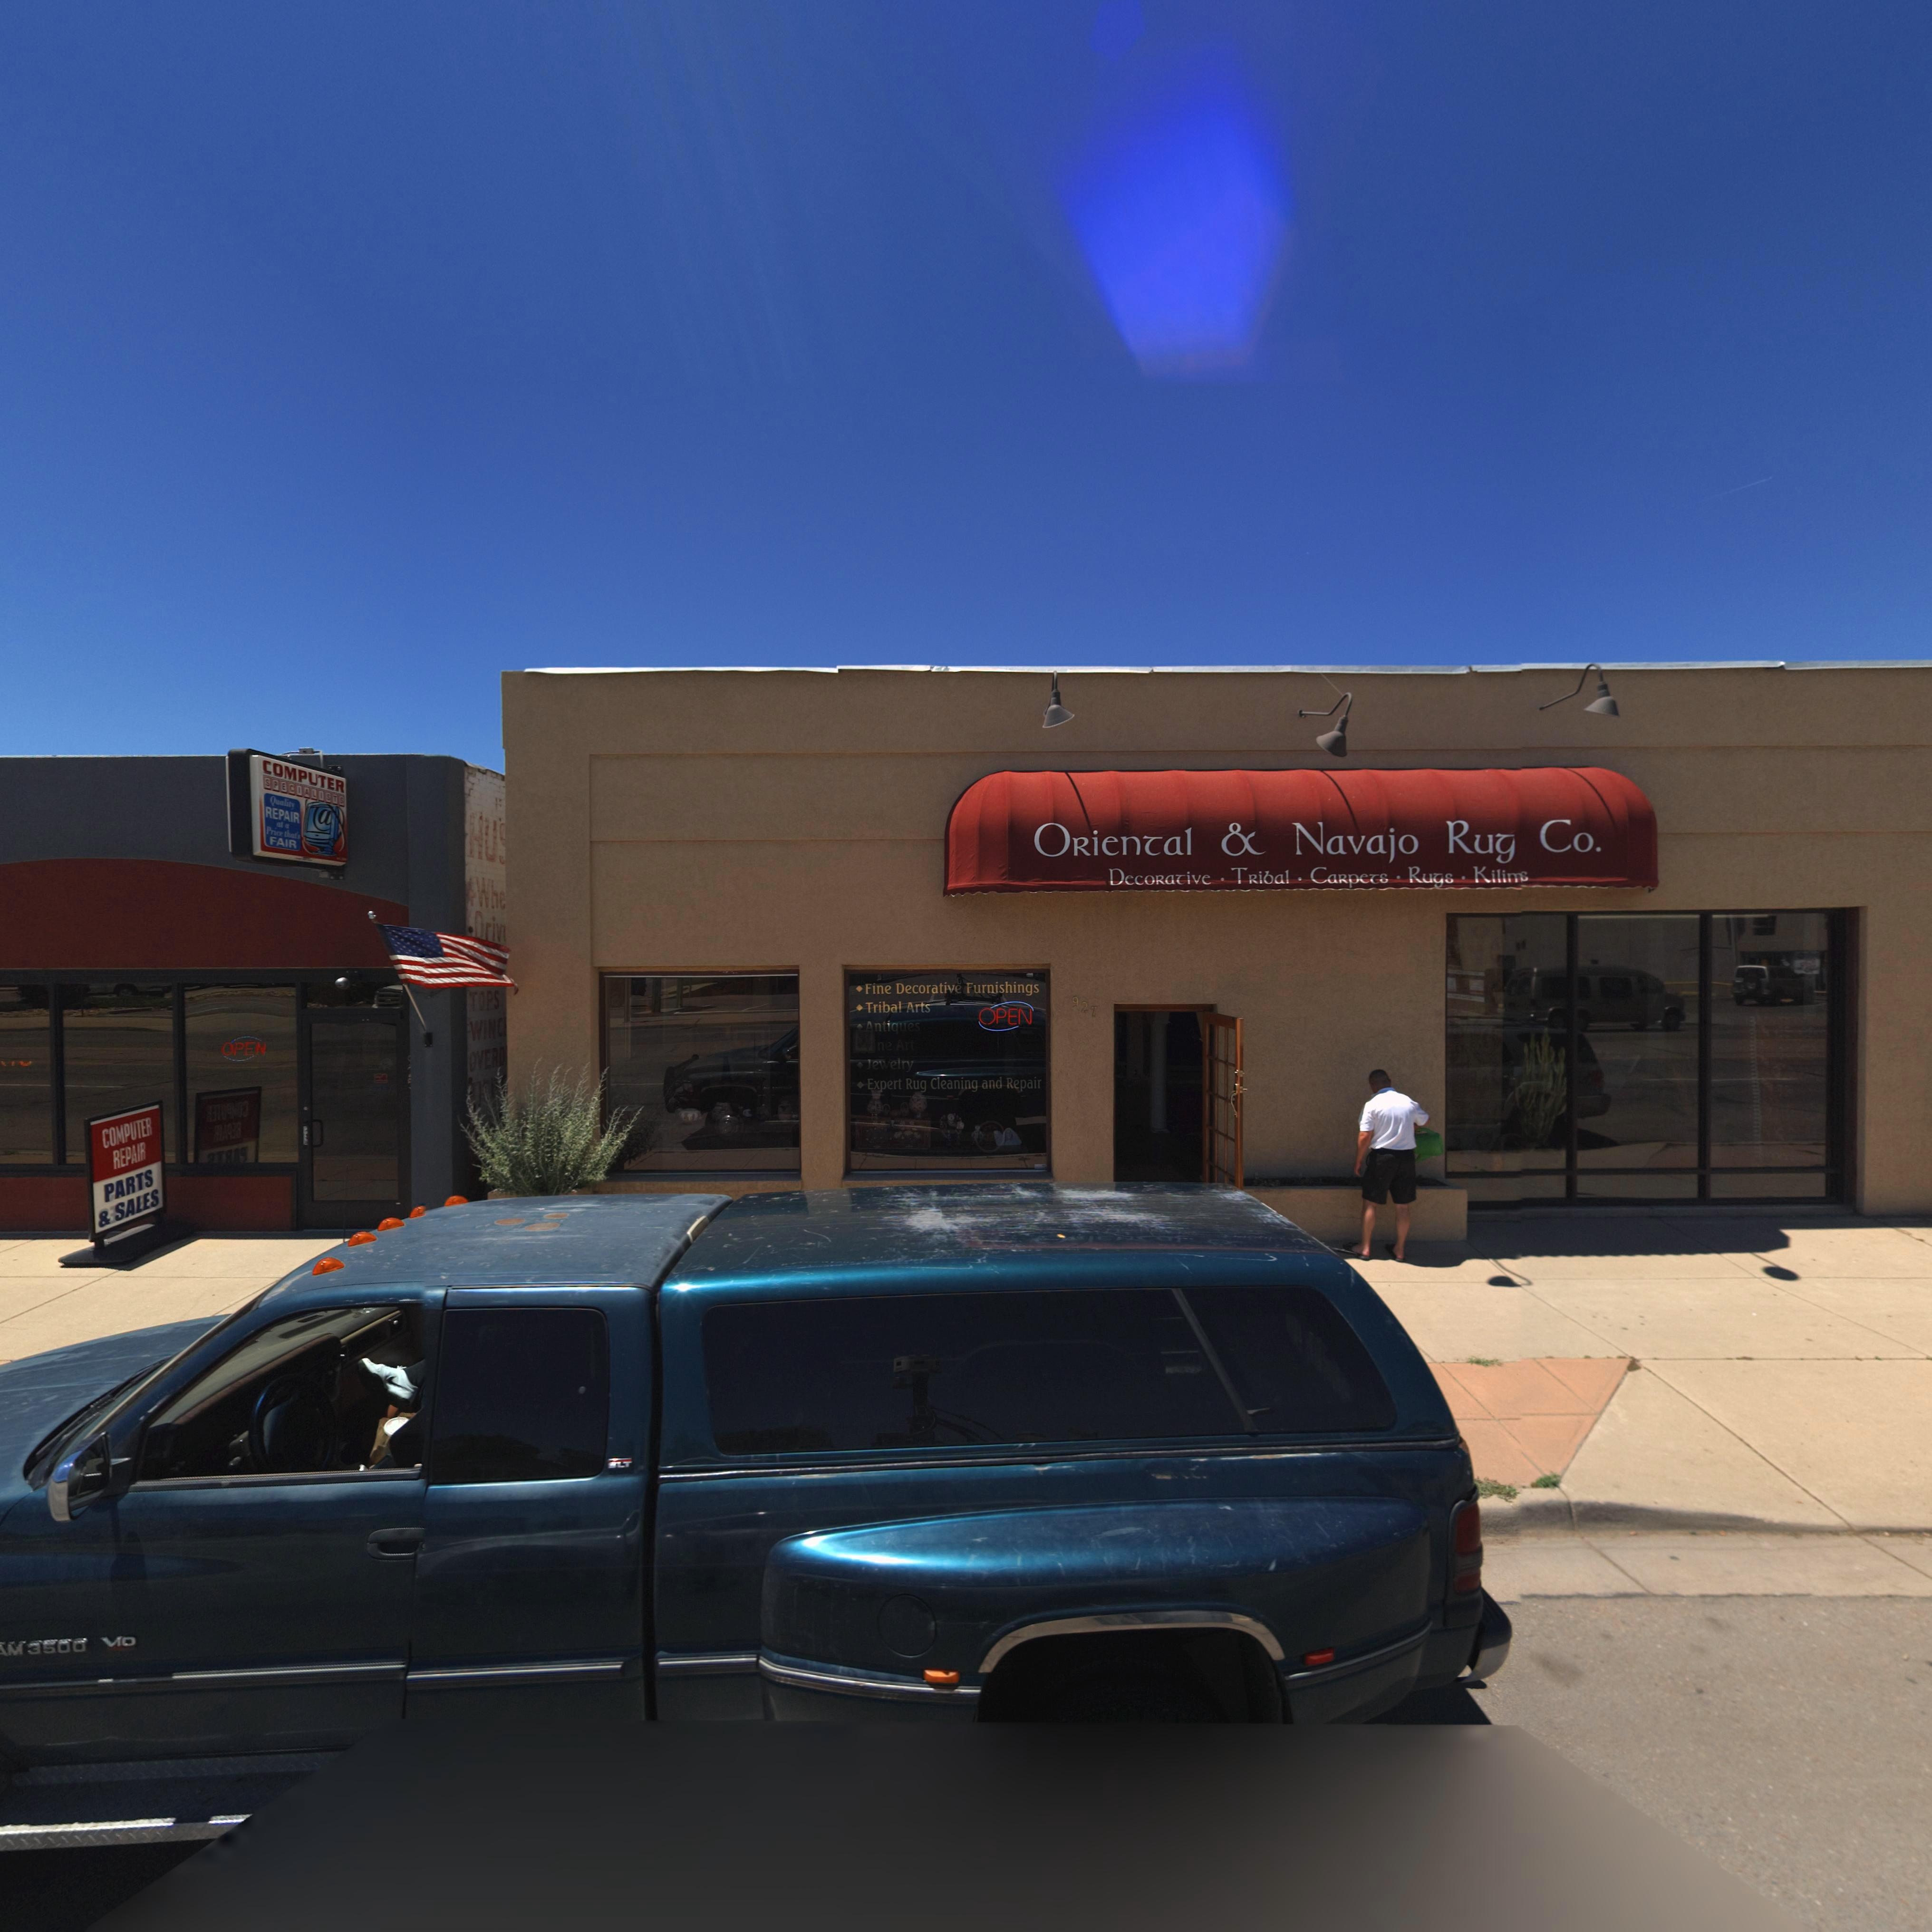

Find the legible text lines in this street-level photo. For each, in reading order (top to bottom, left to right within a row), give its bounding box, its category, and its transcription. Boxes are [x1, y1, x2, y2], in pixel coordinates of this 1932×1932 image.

[262, 759, 345, 793] BusinessName: COMPUTER
[264, 778, 344, 804] BusinessName: SPECIALISTS
[1031, 818, 1602, 865] BusinessName: ORienTal & Navajo Rug Co.
[1070, 994, 1098, 1019] StreetNumber: 927